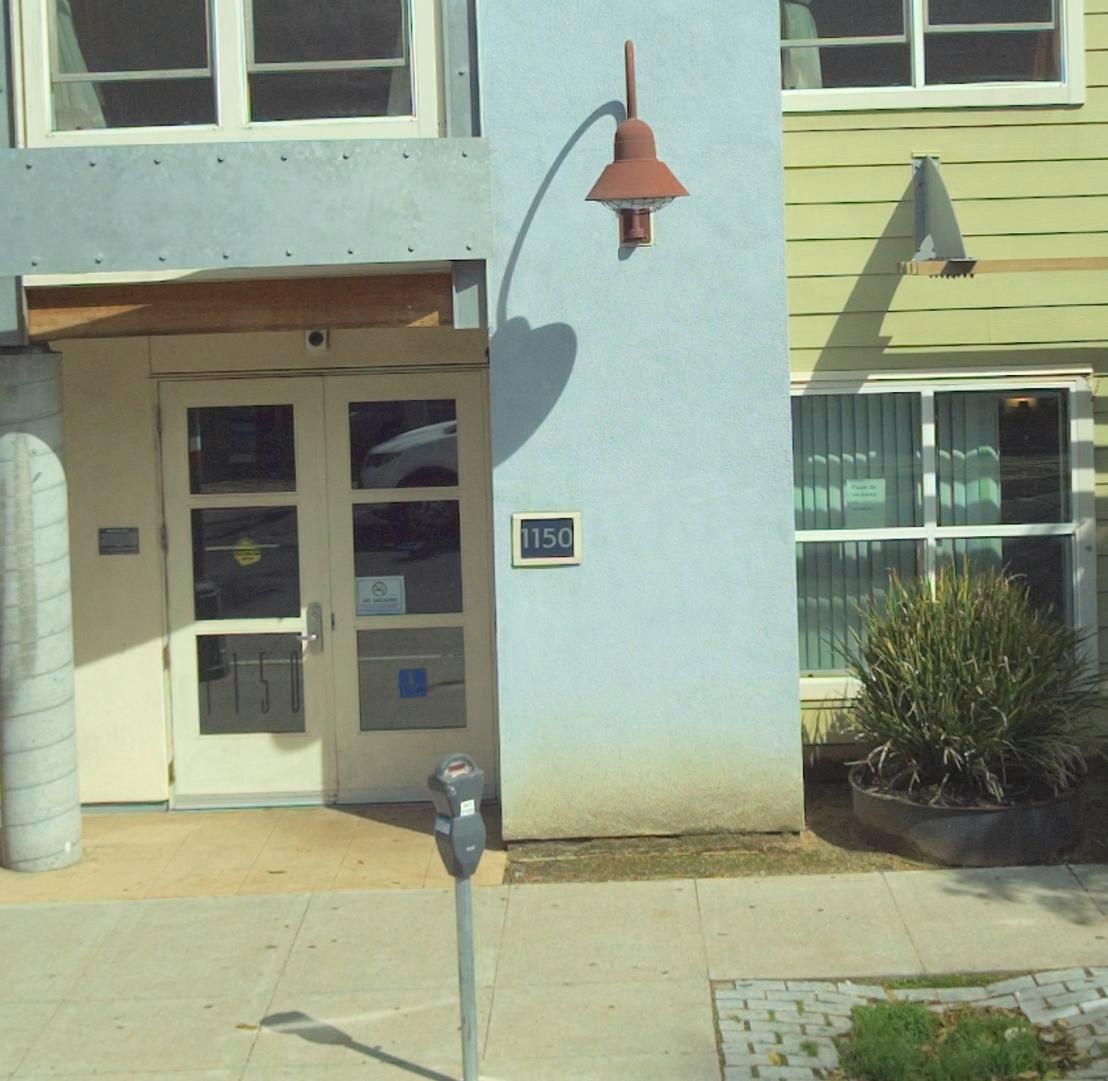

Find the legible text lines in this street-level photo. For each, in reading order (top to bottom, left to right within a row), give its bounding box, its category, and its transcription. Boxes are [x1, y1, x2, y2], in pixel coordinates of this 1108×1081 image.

[520, 527, 574, 549] StreetNumber: 1150
[361, 597, 371, 605] None: NO
[202, 650, 303, 717] StreetNumber: 1150